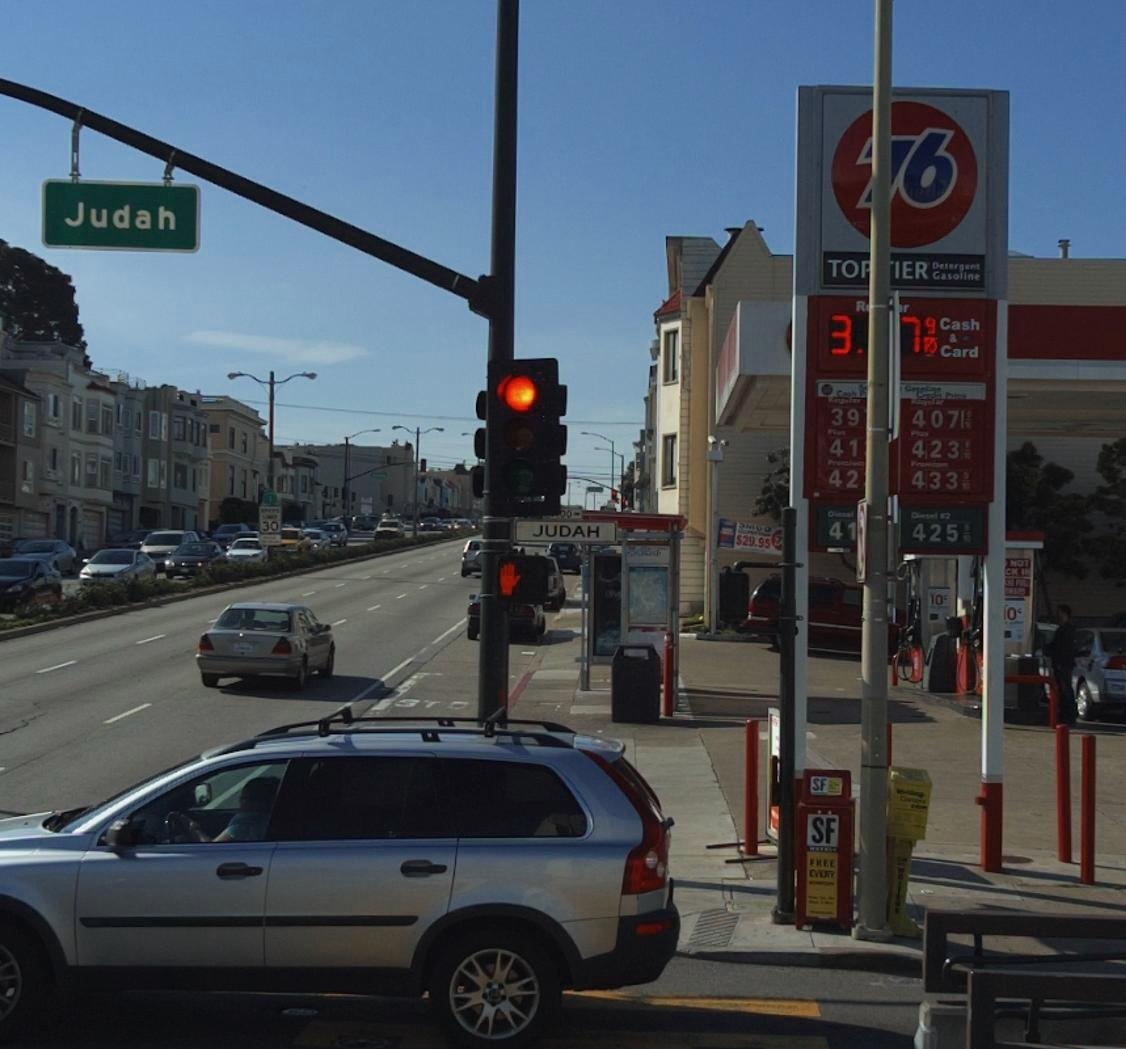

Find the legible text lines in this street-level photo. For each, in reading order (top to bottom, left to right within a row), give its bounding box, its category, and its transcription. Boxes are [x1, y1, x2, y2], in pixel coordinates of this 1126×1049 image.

[851, 128, 963, 209] BusinessName: *6
[63, 200, 176, 231] StreetName: Judah
[826, 257, 927, 281] None: TO**IER
[932, 260, 980, 272] None: Detergent
[932, 271, 981, 282] None: Gasoline
[854, 299, 866, 312] None: R
[897, 302, 910, 313] None: *r
[922, 315, 937, 335] None: 9
[940, 315, 980, 331] None: Cash
[830, 313, 921, 357] None: 3.*7
[923, 337, 937, 353] None: 10
[948, 333, 958, 344] None: &
[940, 345, 980, 358] None: Card
[826, 395, 861, 406] None: Regular
[830, 407, 860, 428] None: 39
[910, 408, 960, 430] None: 407
[826, 428, 847, 437] None: PLUS
[828, 437, 858, 459] None: 41
[910, 438, 960, 459] None: 423
[826, 468, 860, 490] None: 42
[910, 469, 958, 491] None: 433
[961, 471, 971, 480] None: 9
[961, 482, 971, 491] None: 10
[558, 508, 581, 520] StreetNumberRange: 00->
[261, 520, 279, 533] None: 30
[532, 524, 600, 539] StreetName: JUDAH
[734, 533, 772, 550] None: $29.94
[828, 519, 856, 541] None: 41
[910, 523, 959, 543] None: 425
[962, 534, 972, 543] None: 10
[963, 524, 972, 533] None: 9
[1010, 557, 1031, 568] None: NOT
[929, 593, 945, 607] None: 10
[1002, 606, 1018, 621] None: 10
[811, 776, 828, 792] None: SF
[808, 815, 837, 845] None: SF
[809, 845, 837, 854] None: WEEKLY
[809, 857, 835, 869] None: FREE
[808, 868, 835, 880] None: EVERY